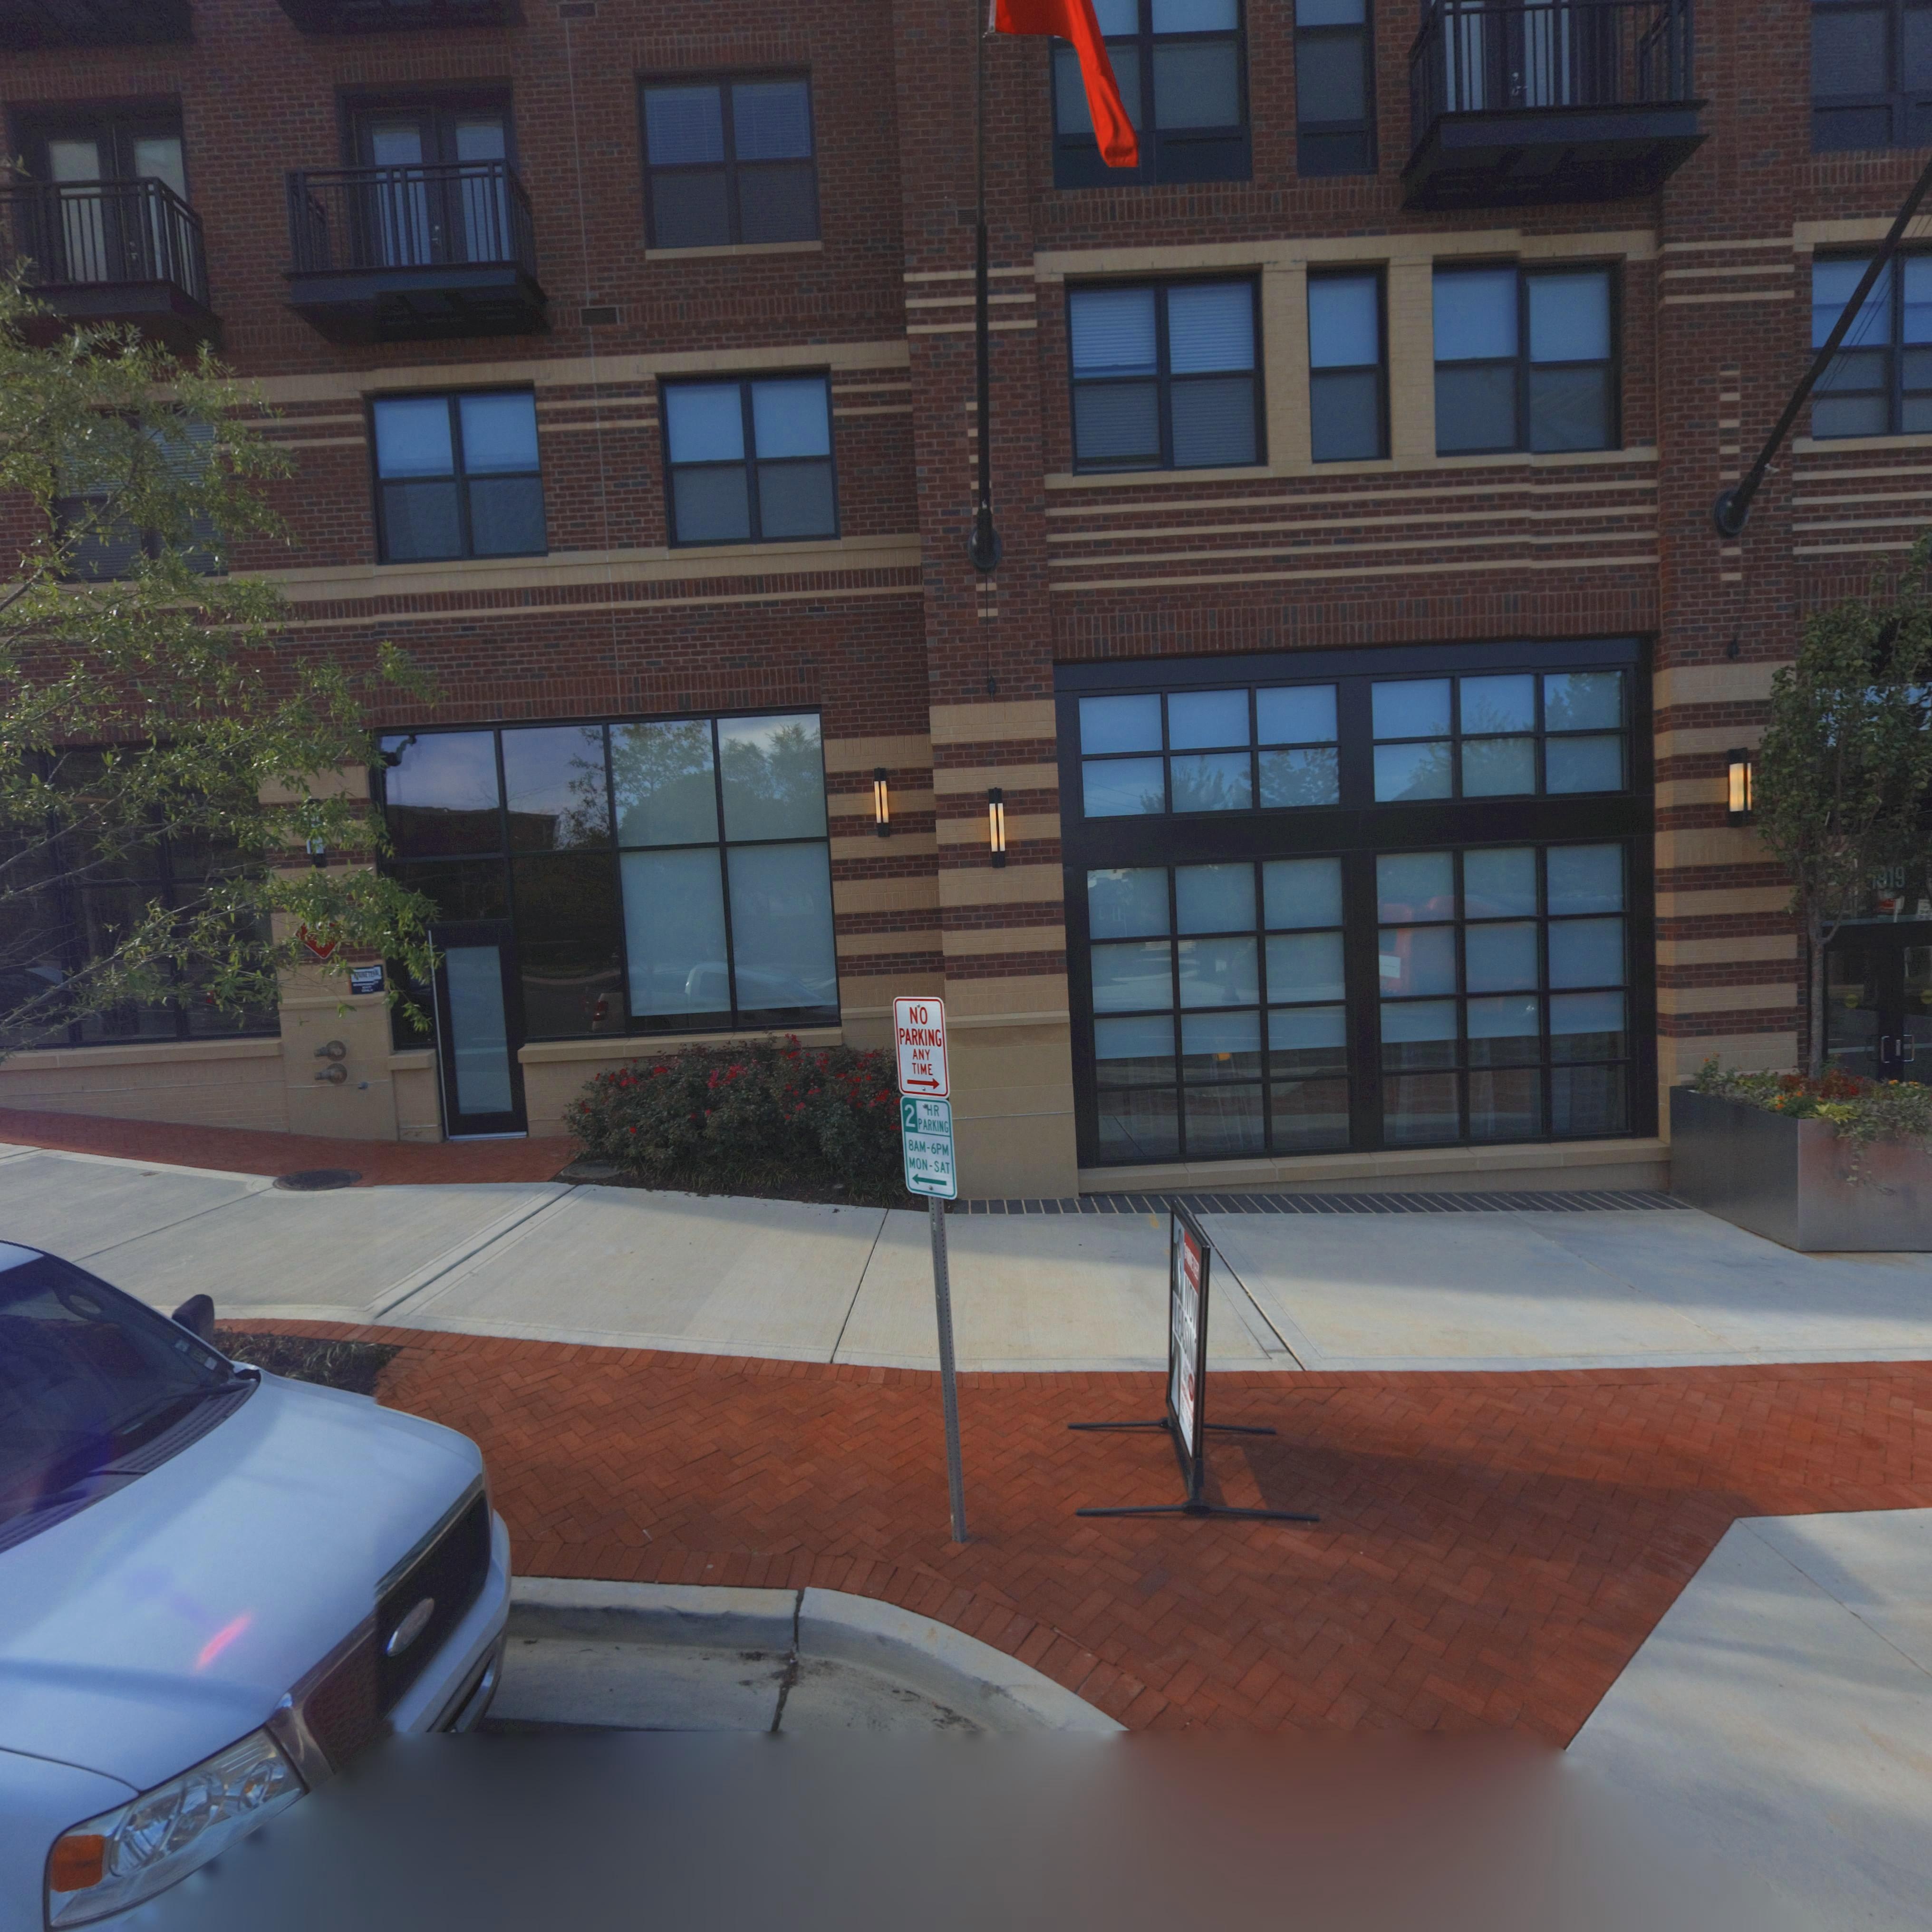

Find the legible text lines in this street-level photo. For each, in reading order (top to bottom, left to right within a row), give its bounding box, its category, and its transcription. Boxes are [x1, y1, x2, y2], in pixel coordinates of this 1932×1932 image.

[1886, 864, 1906, 890] StreetNumber: 19
[908, 1005, 929, 1026] None: NO
[898, 1026, 943, 1049] None: PARKING
[910, 1046, 932, 1062] None: ANY
[910, 1061, 935, 1077] None: TIME
[902, 1101, 917, 1129] None: 2
[925, 1102, 941, 1119] None: HR
[917, 1116, 950, 1135] None: PARKING
[907, 1137, 951, 1158] None: 8AM-6PM
[908, 1155, 952, 1176] None: MON-SAT